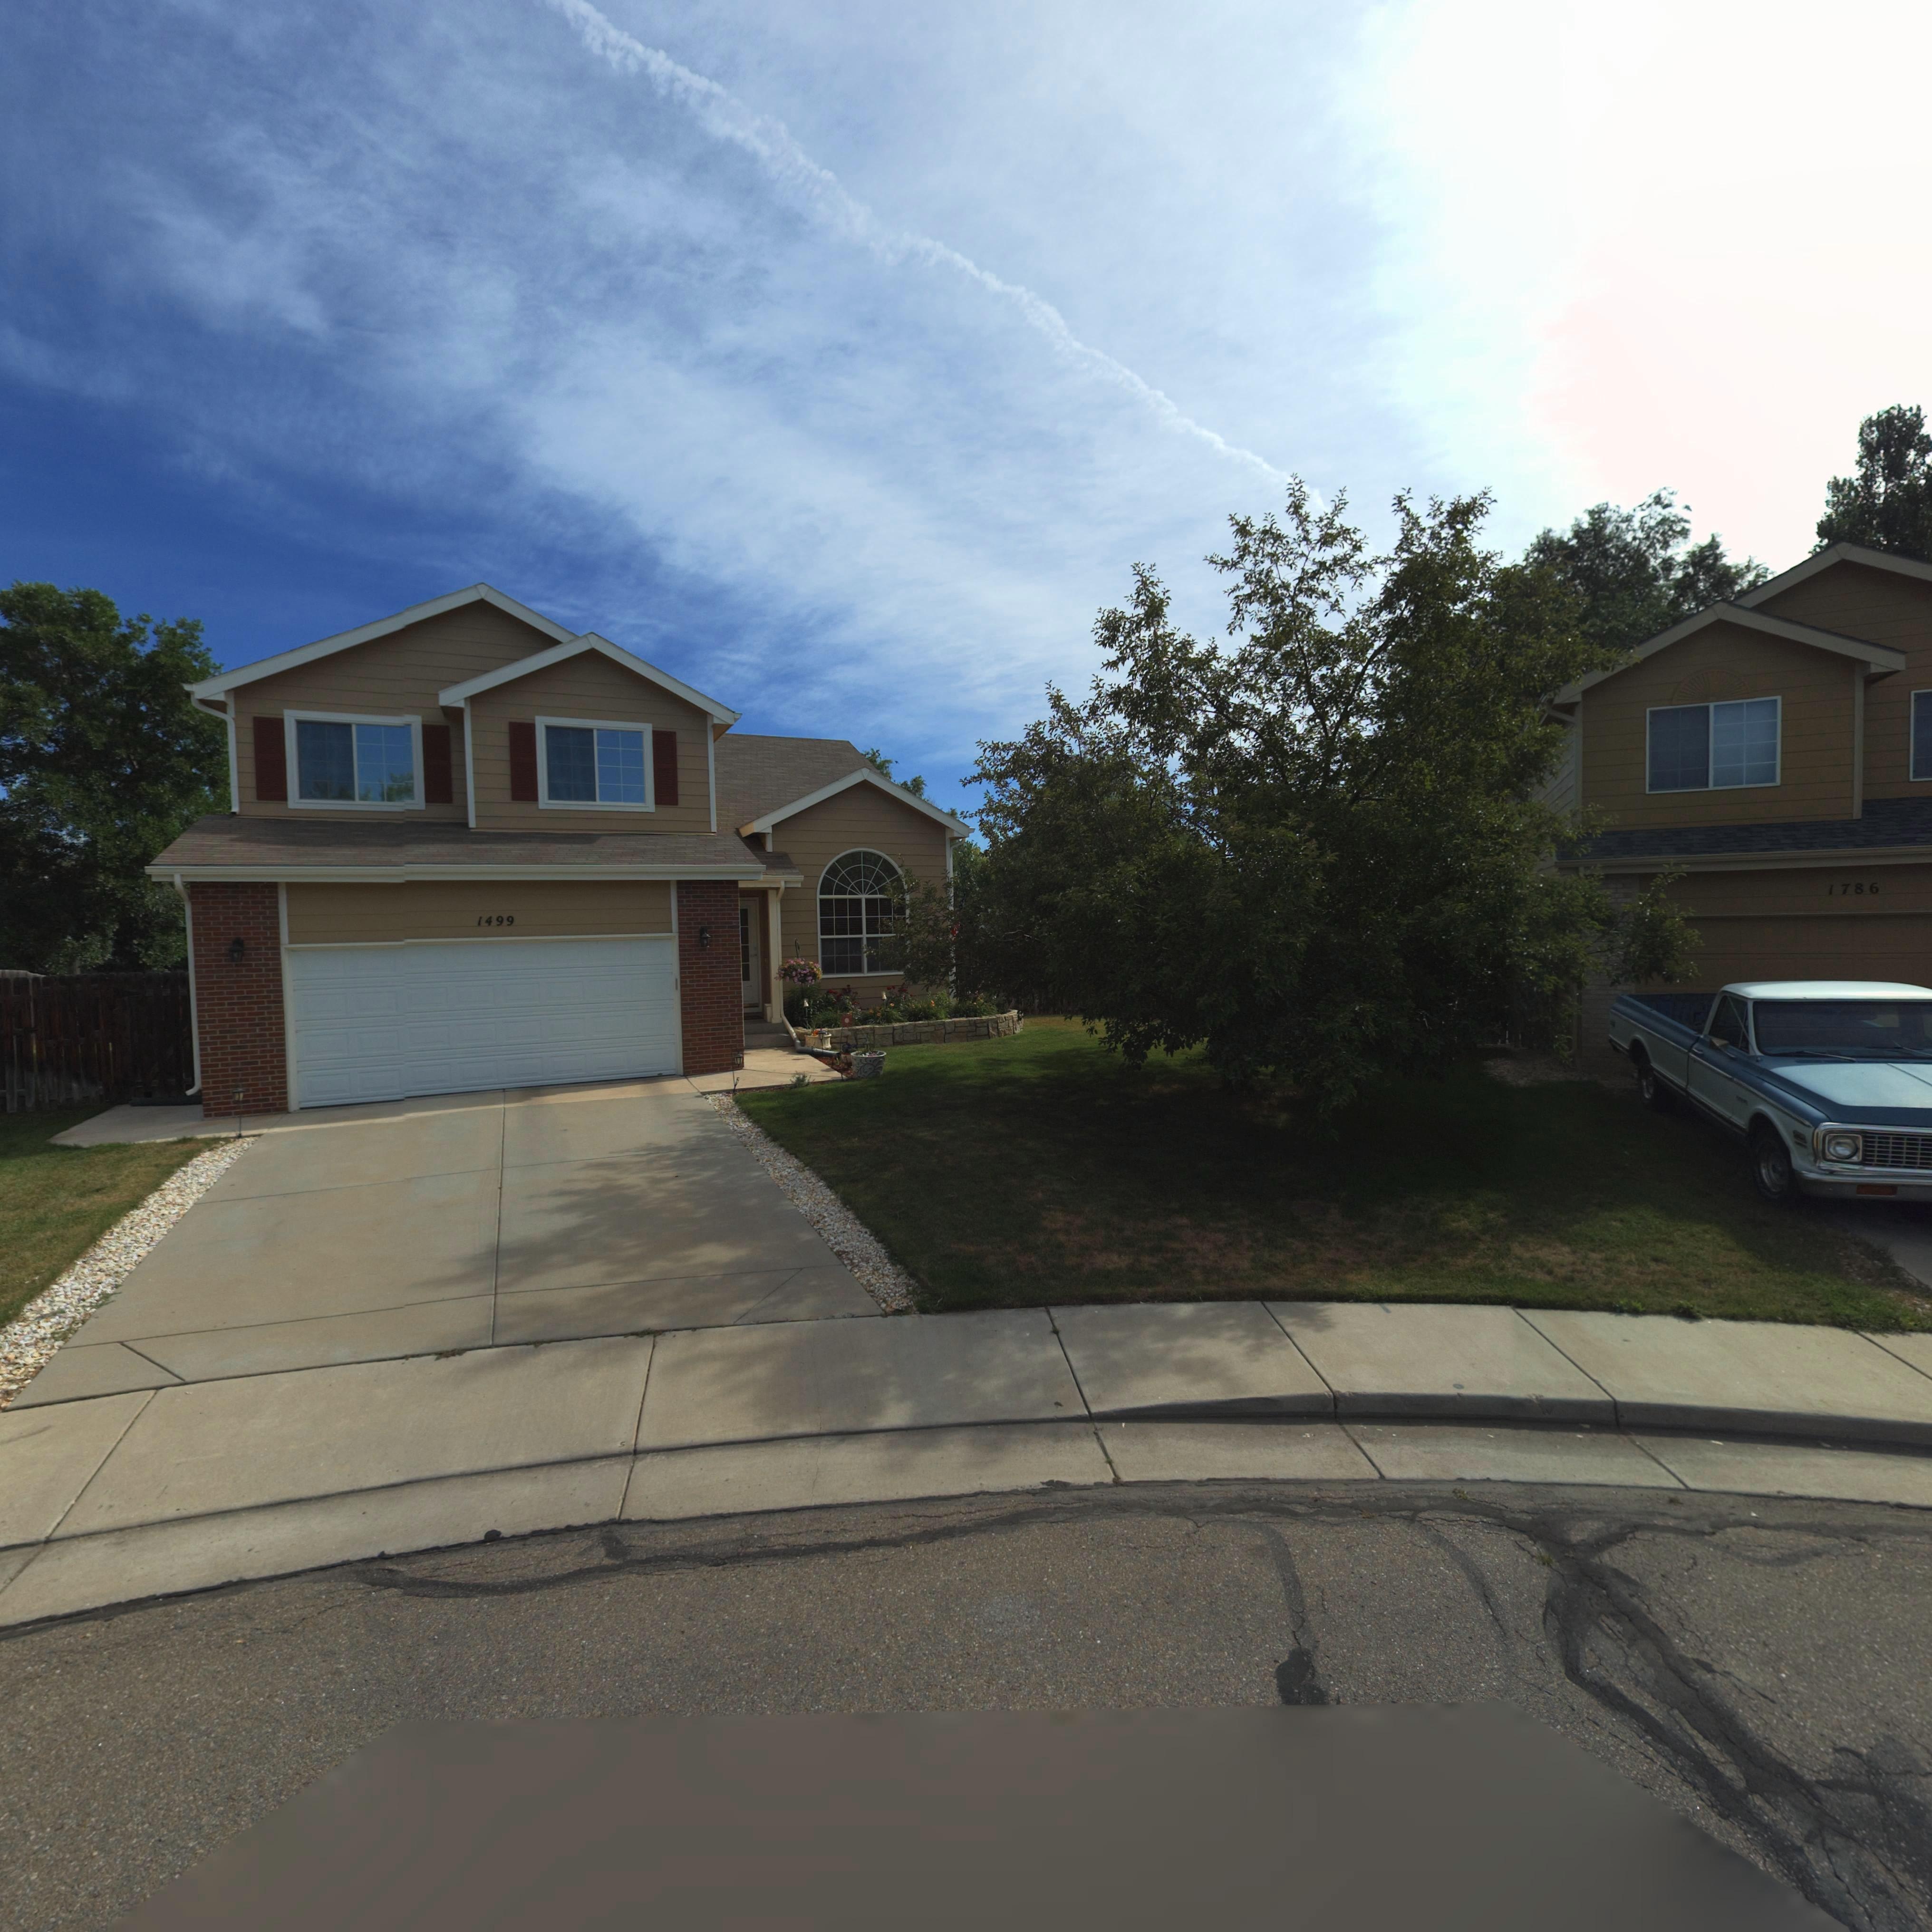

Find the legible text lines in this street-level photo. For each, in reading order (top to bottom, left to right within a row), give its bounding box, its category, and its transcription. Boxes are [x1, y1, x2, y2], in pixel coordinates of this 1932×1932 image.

[1827, 881, 1879, 896] StreetNumber: 1786
[475, 914, 514, 927] StreetNumber: 1499